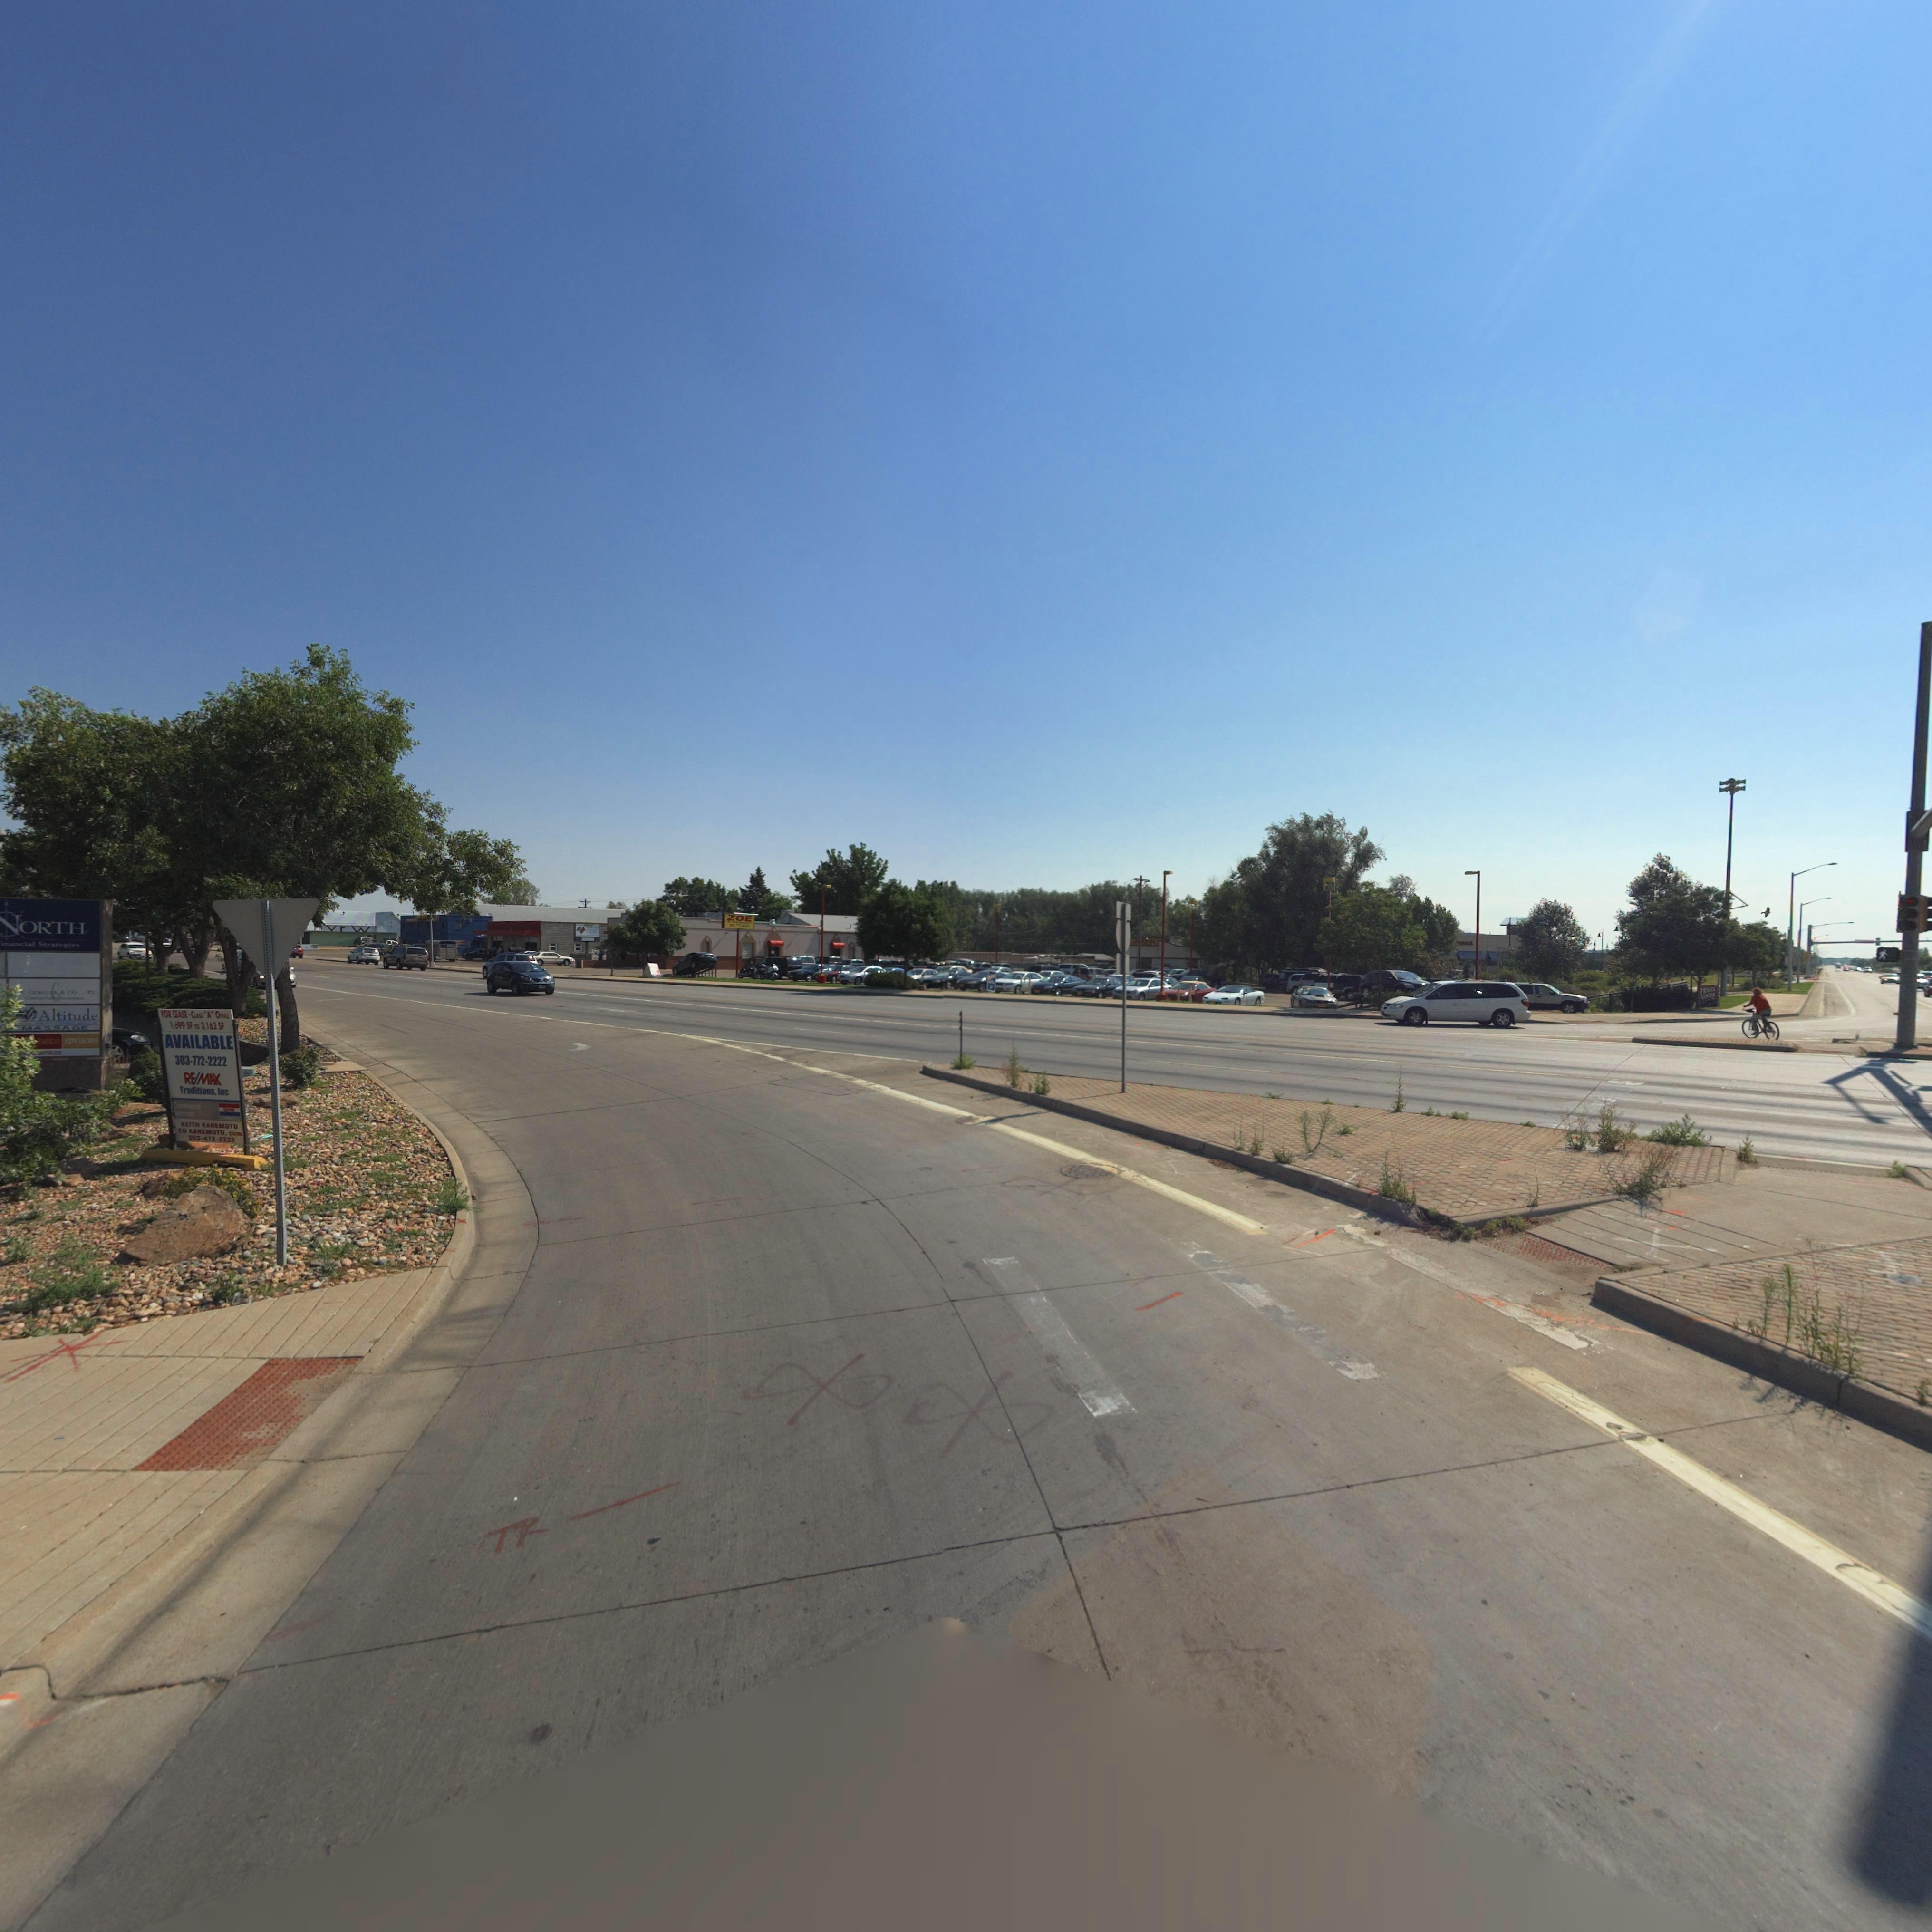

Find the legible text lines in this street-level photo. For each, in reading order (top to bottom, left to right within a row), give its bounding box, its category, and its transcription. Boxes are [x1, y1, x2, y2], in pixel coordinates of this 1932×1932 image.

[726, 914, 752, 922] BusinessName: ZOE
[19, 920, 85, 935] BusinessName: ORTH
[325, 925, 371, 933] BusinessName: VFW
[1131, 937, 1156, 944] BusinessName: ZOE
[28, 989, 98, 995] BusinessName: GEBAUER & .. CO
[38, 1008, 98, 1021] BusinessName: Altitude
[22, 1025, 88, 1030] BusinessName: MASSAGE
[37, 1037, 99, 1044] BusinessName: FARGO ADVISORS